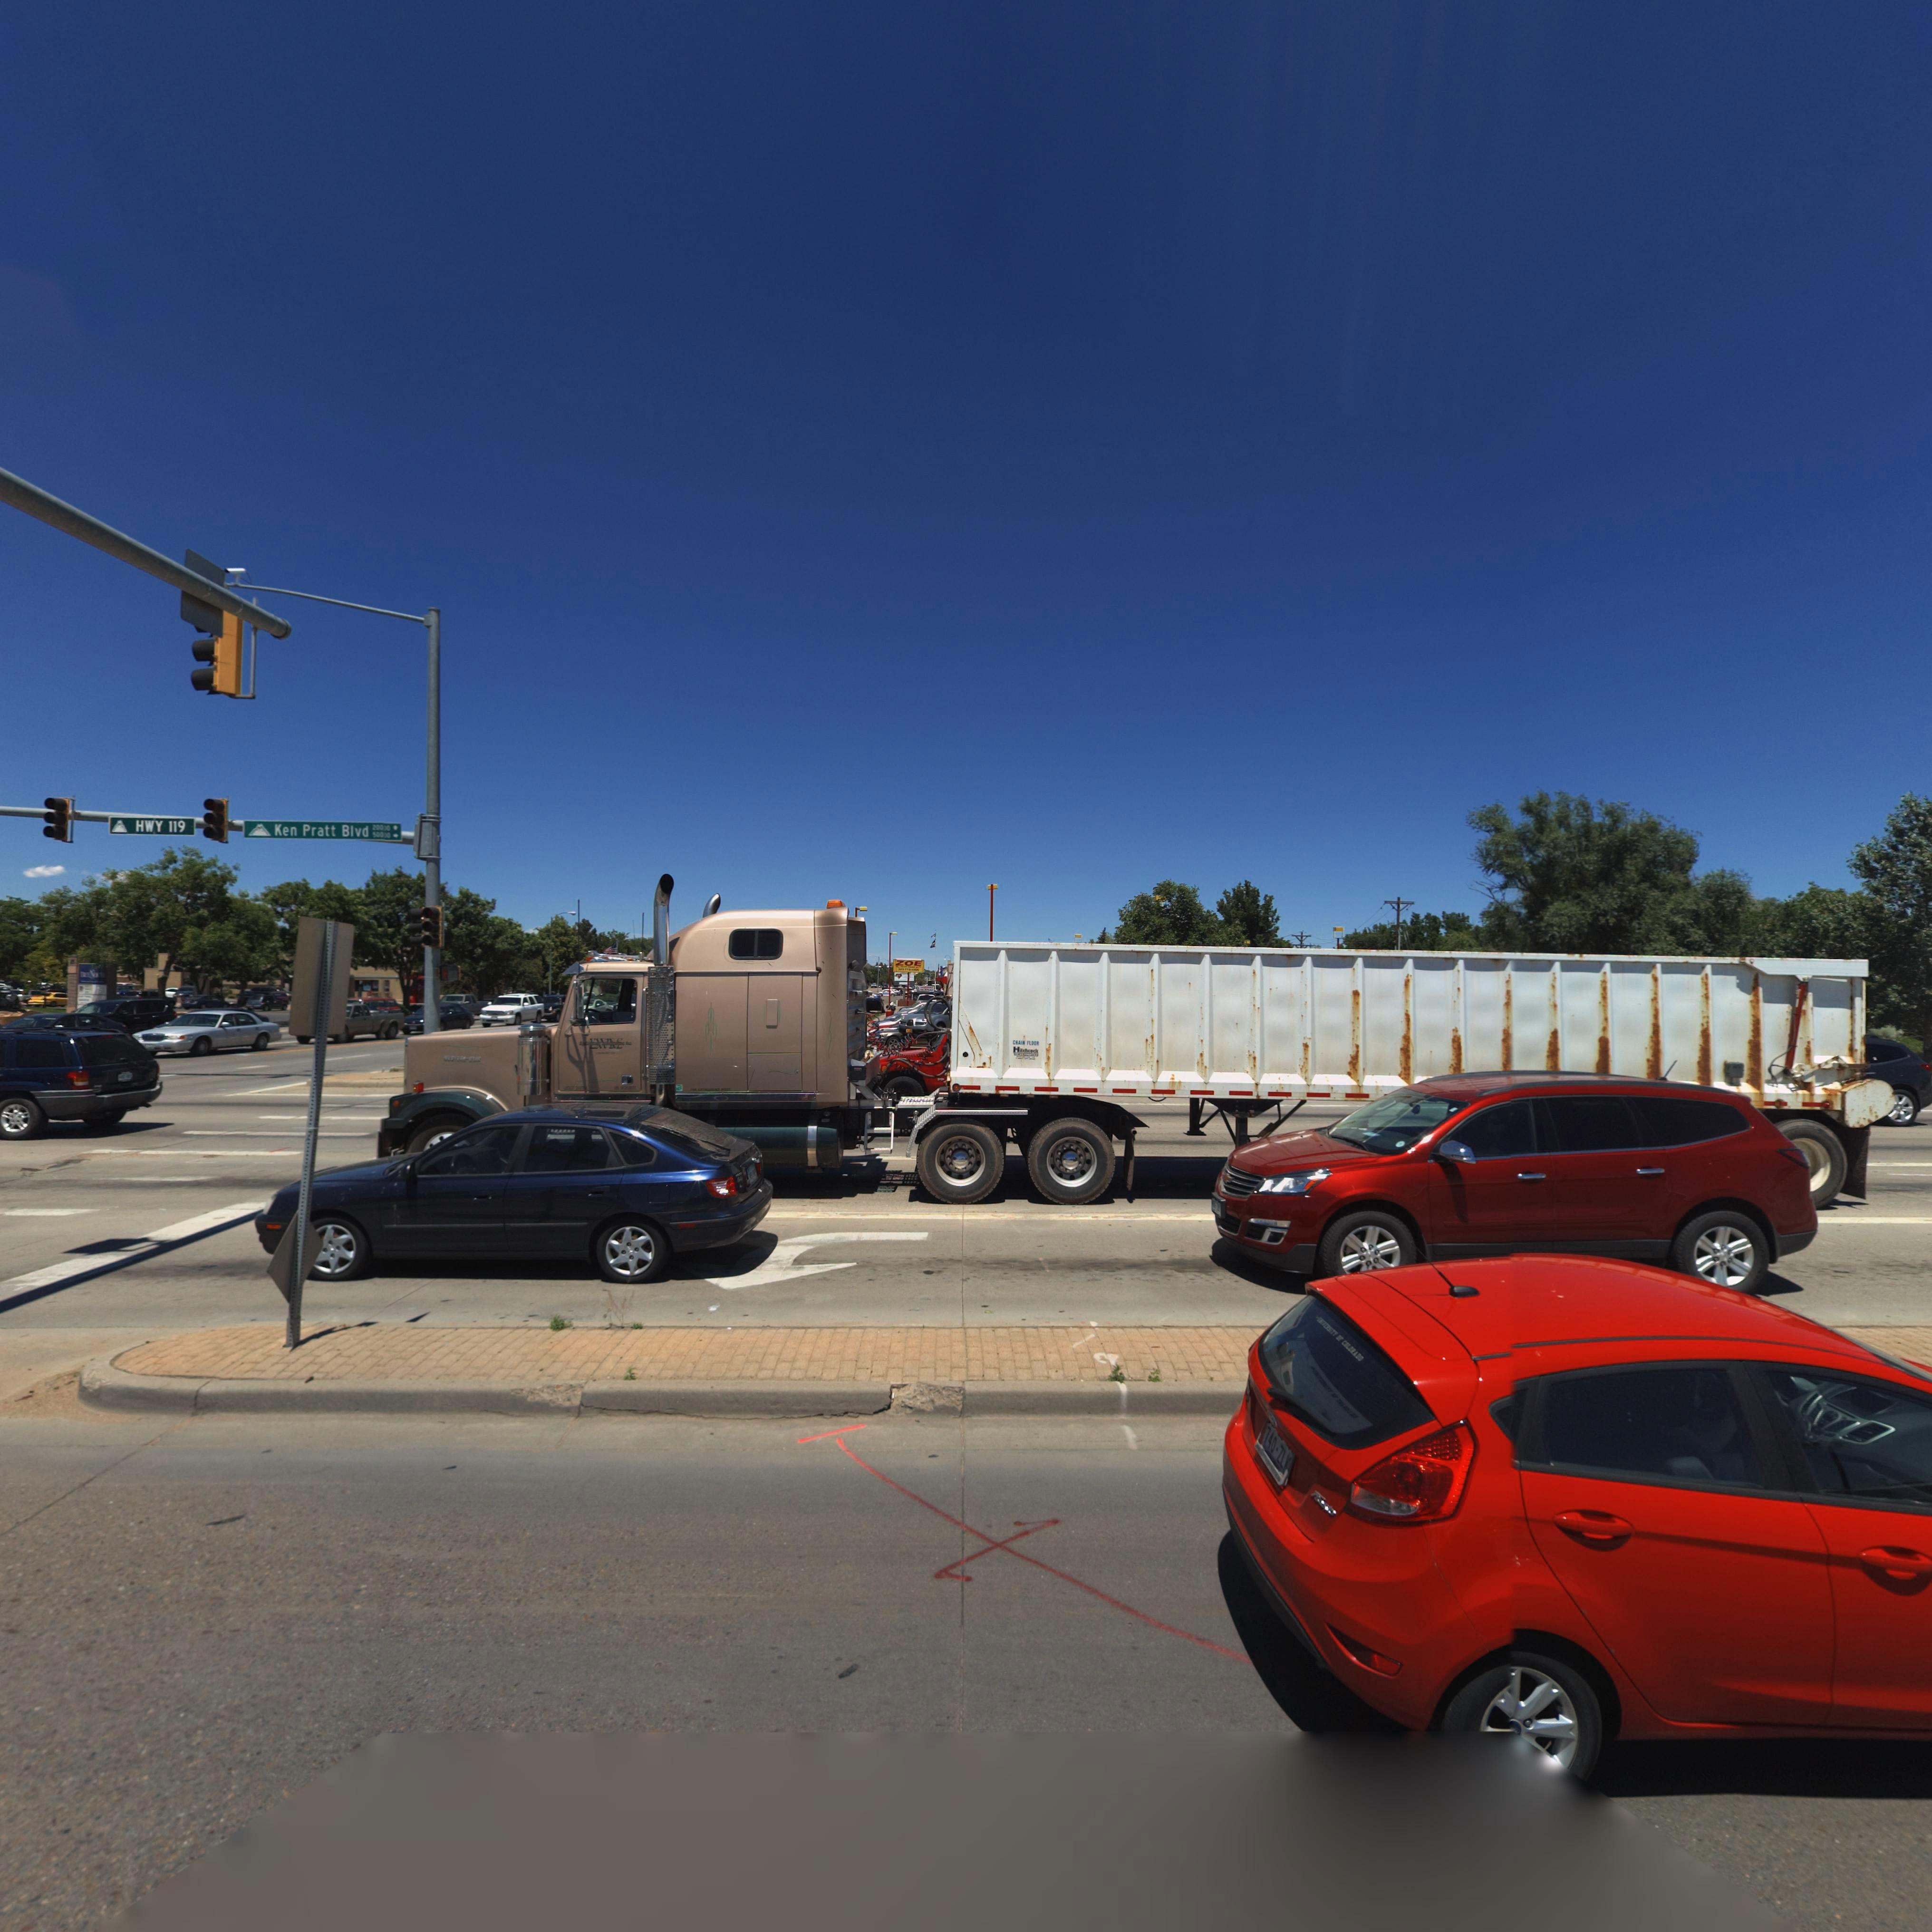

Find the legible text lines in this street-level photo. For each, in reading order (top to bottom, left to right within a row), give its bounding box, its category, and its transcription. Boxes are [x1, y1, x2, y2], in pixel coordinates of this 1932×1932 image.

[135, 820, 186, 832] StreetName: HWY 119
[274, 824, 368, 837] StreetName: tt Blvd
[372, 824, 390, 831] StreetNumberRange: 20000
[372, 831, 399, 839] StreetNumberRange: 50000->
[895, 960, 922, 966] BusinessName: ZOE